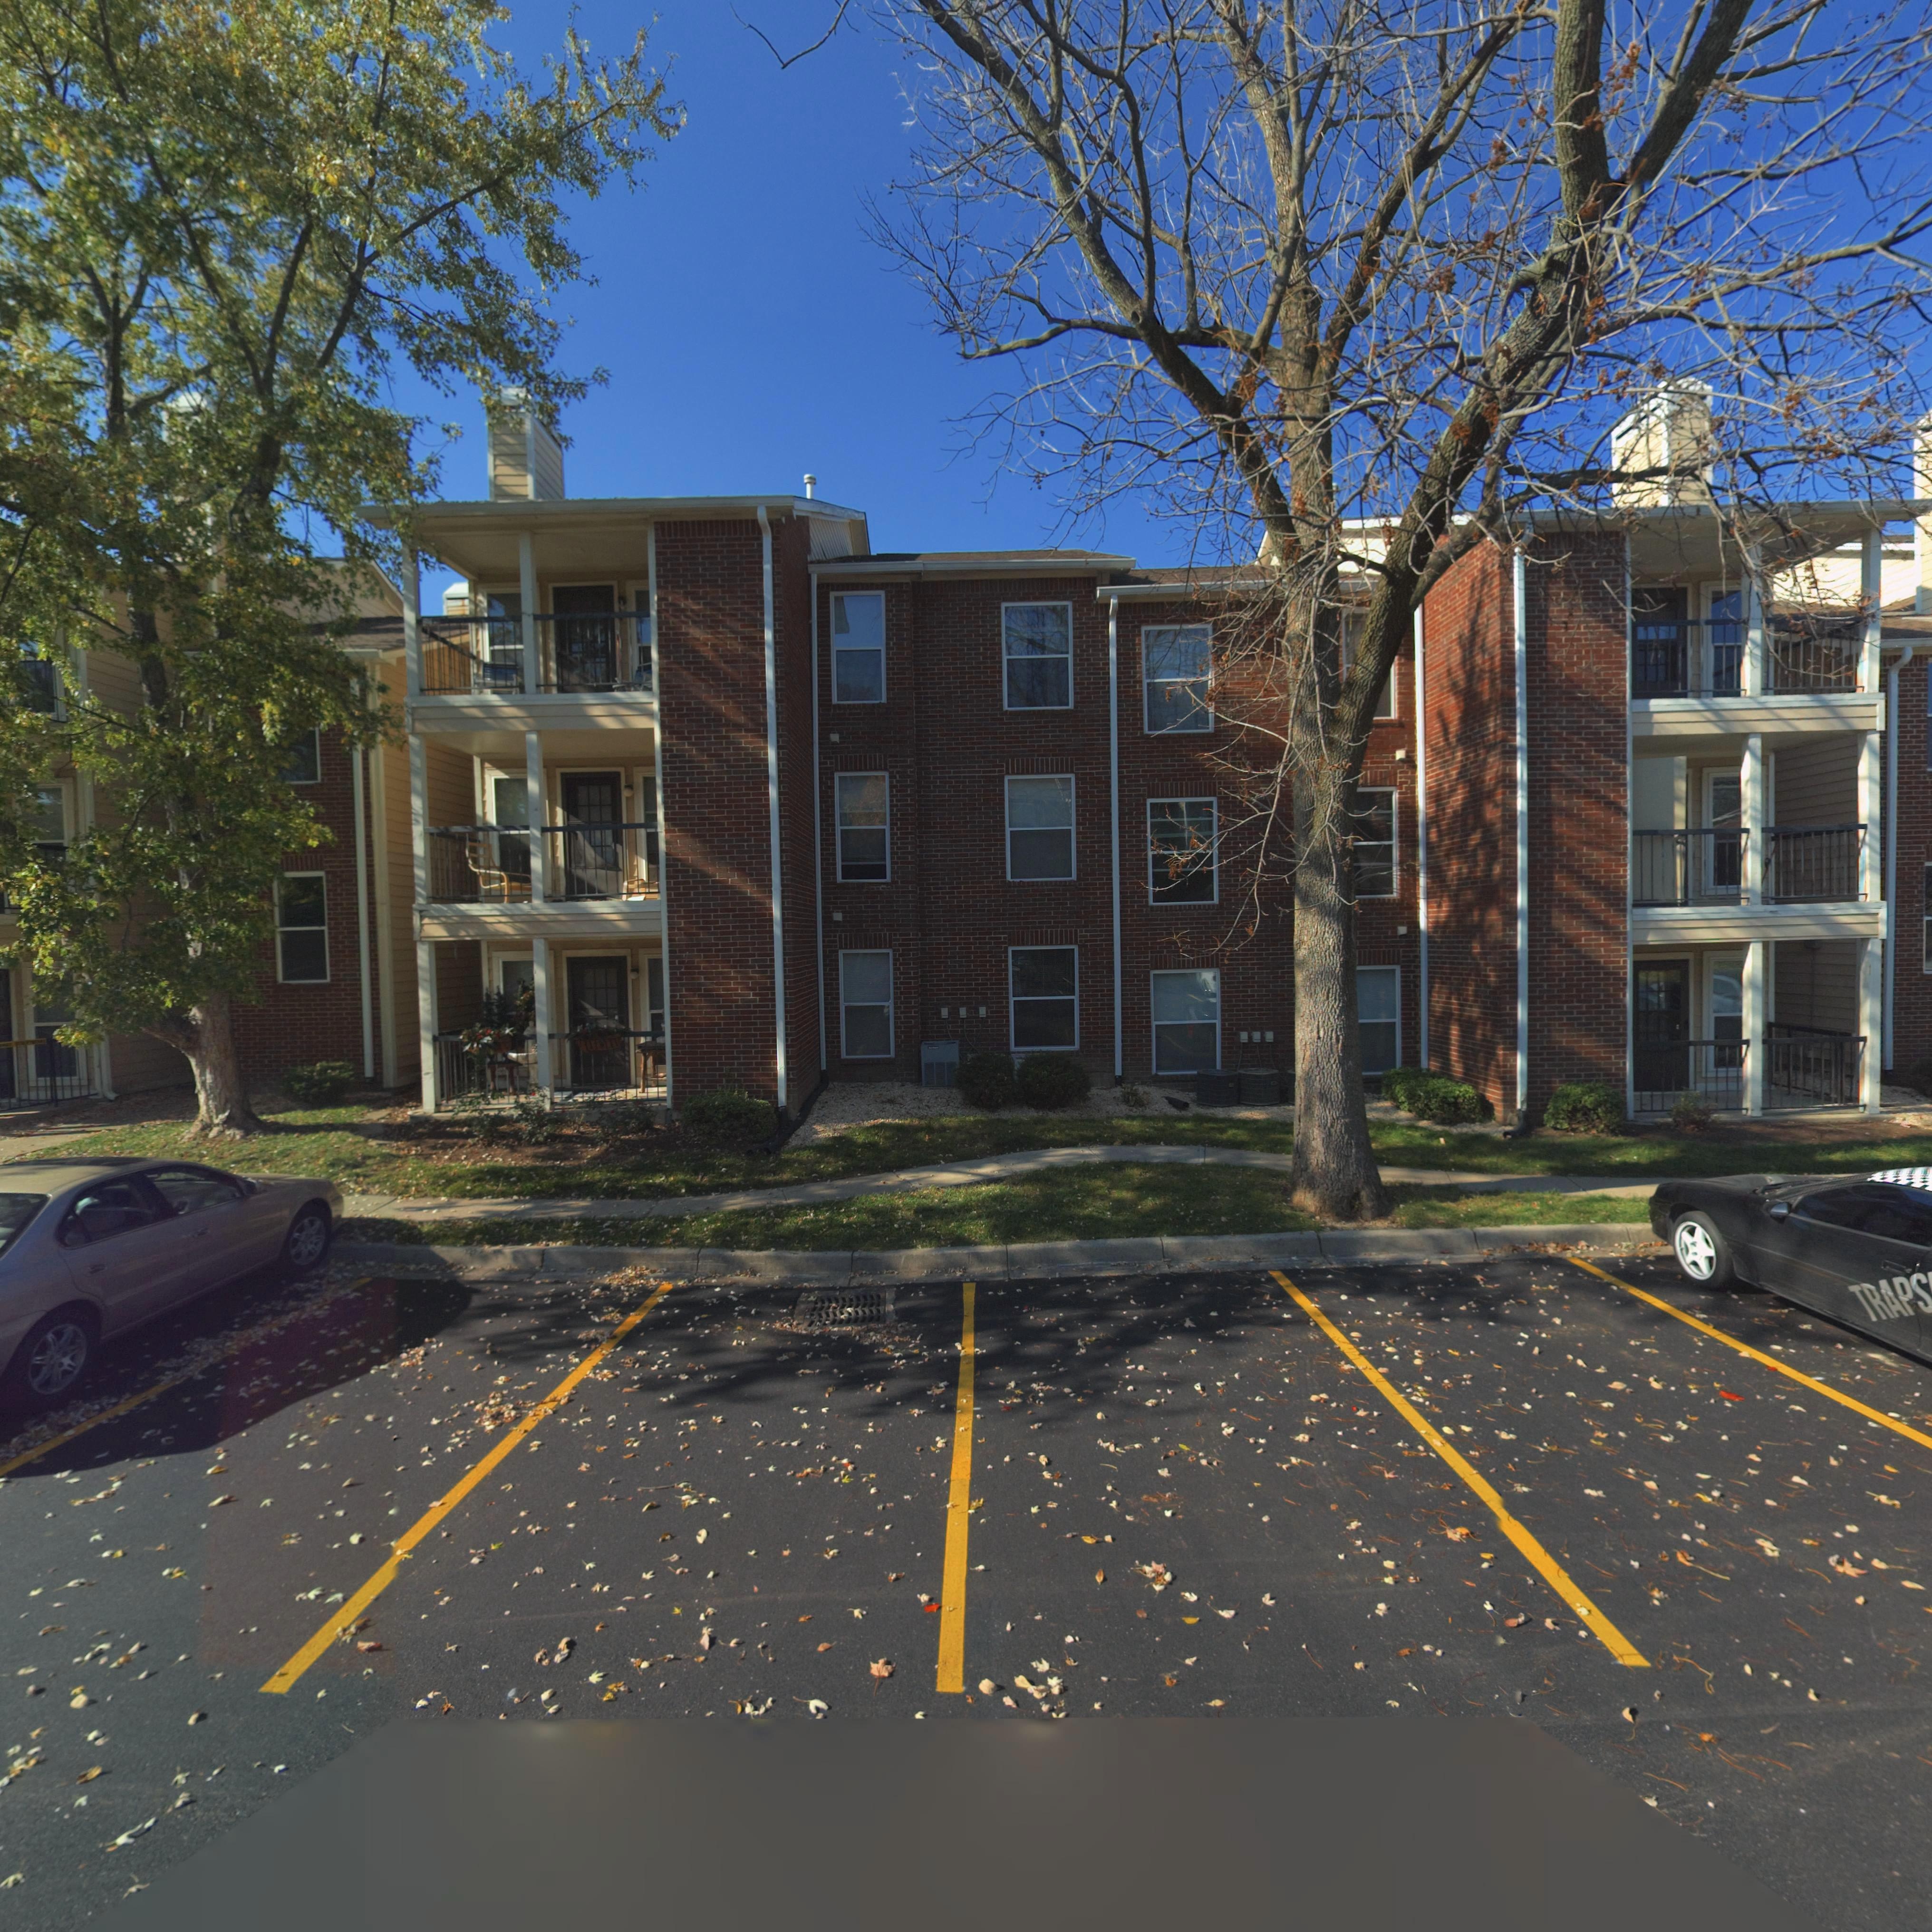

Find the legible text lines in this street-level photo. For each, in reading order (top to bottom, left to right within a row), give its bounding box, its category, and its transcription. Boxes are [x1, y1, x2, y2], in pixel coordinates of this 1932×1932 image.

[1846, 1275, 1918, 1323] None: TRAP